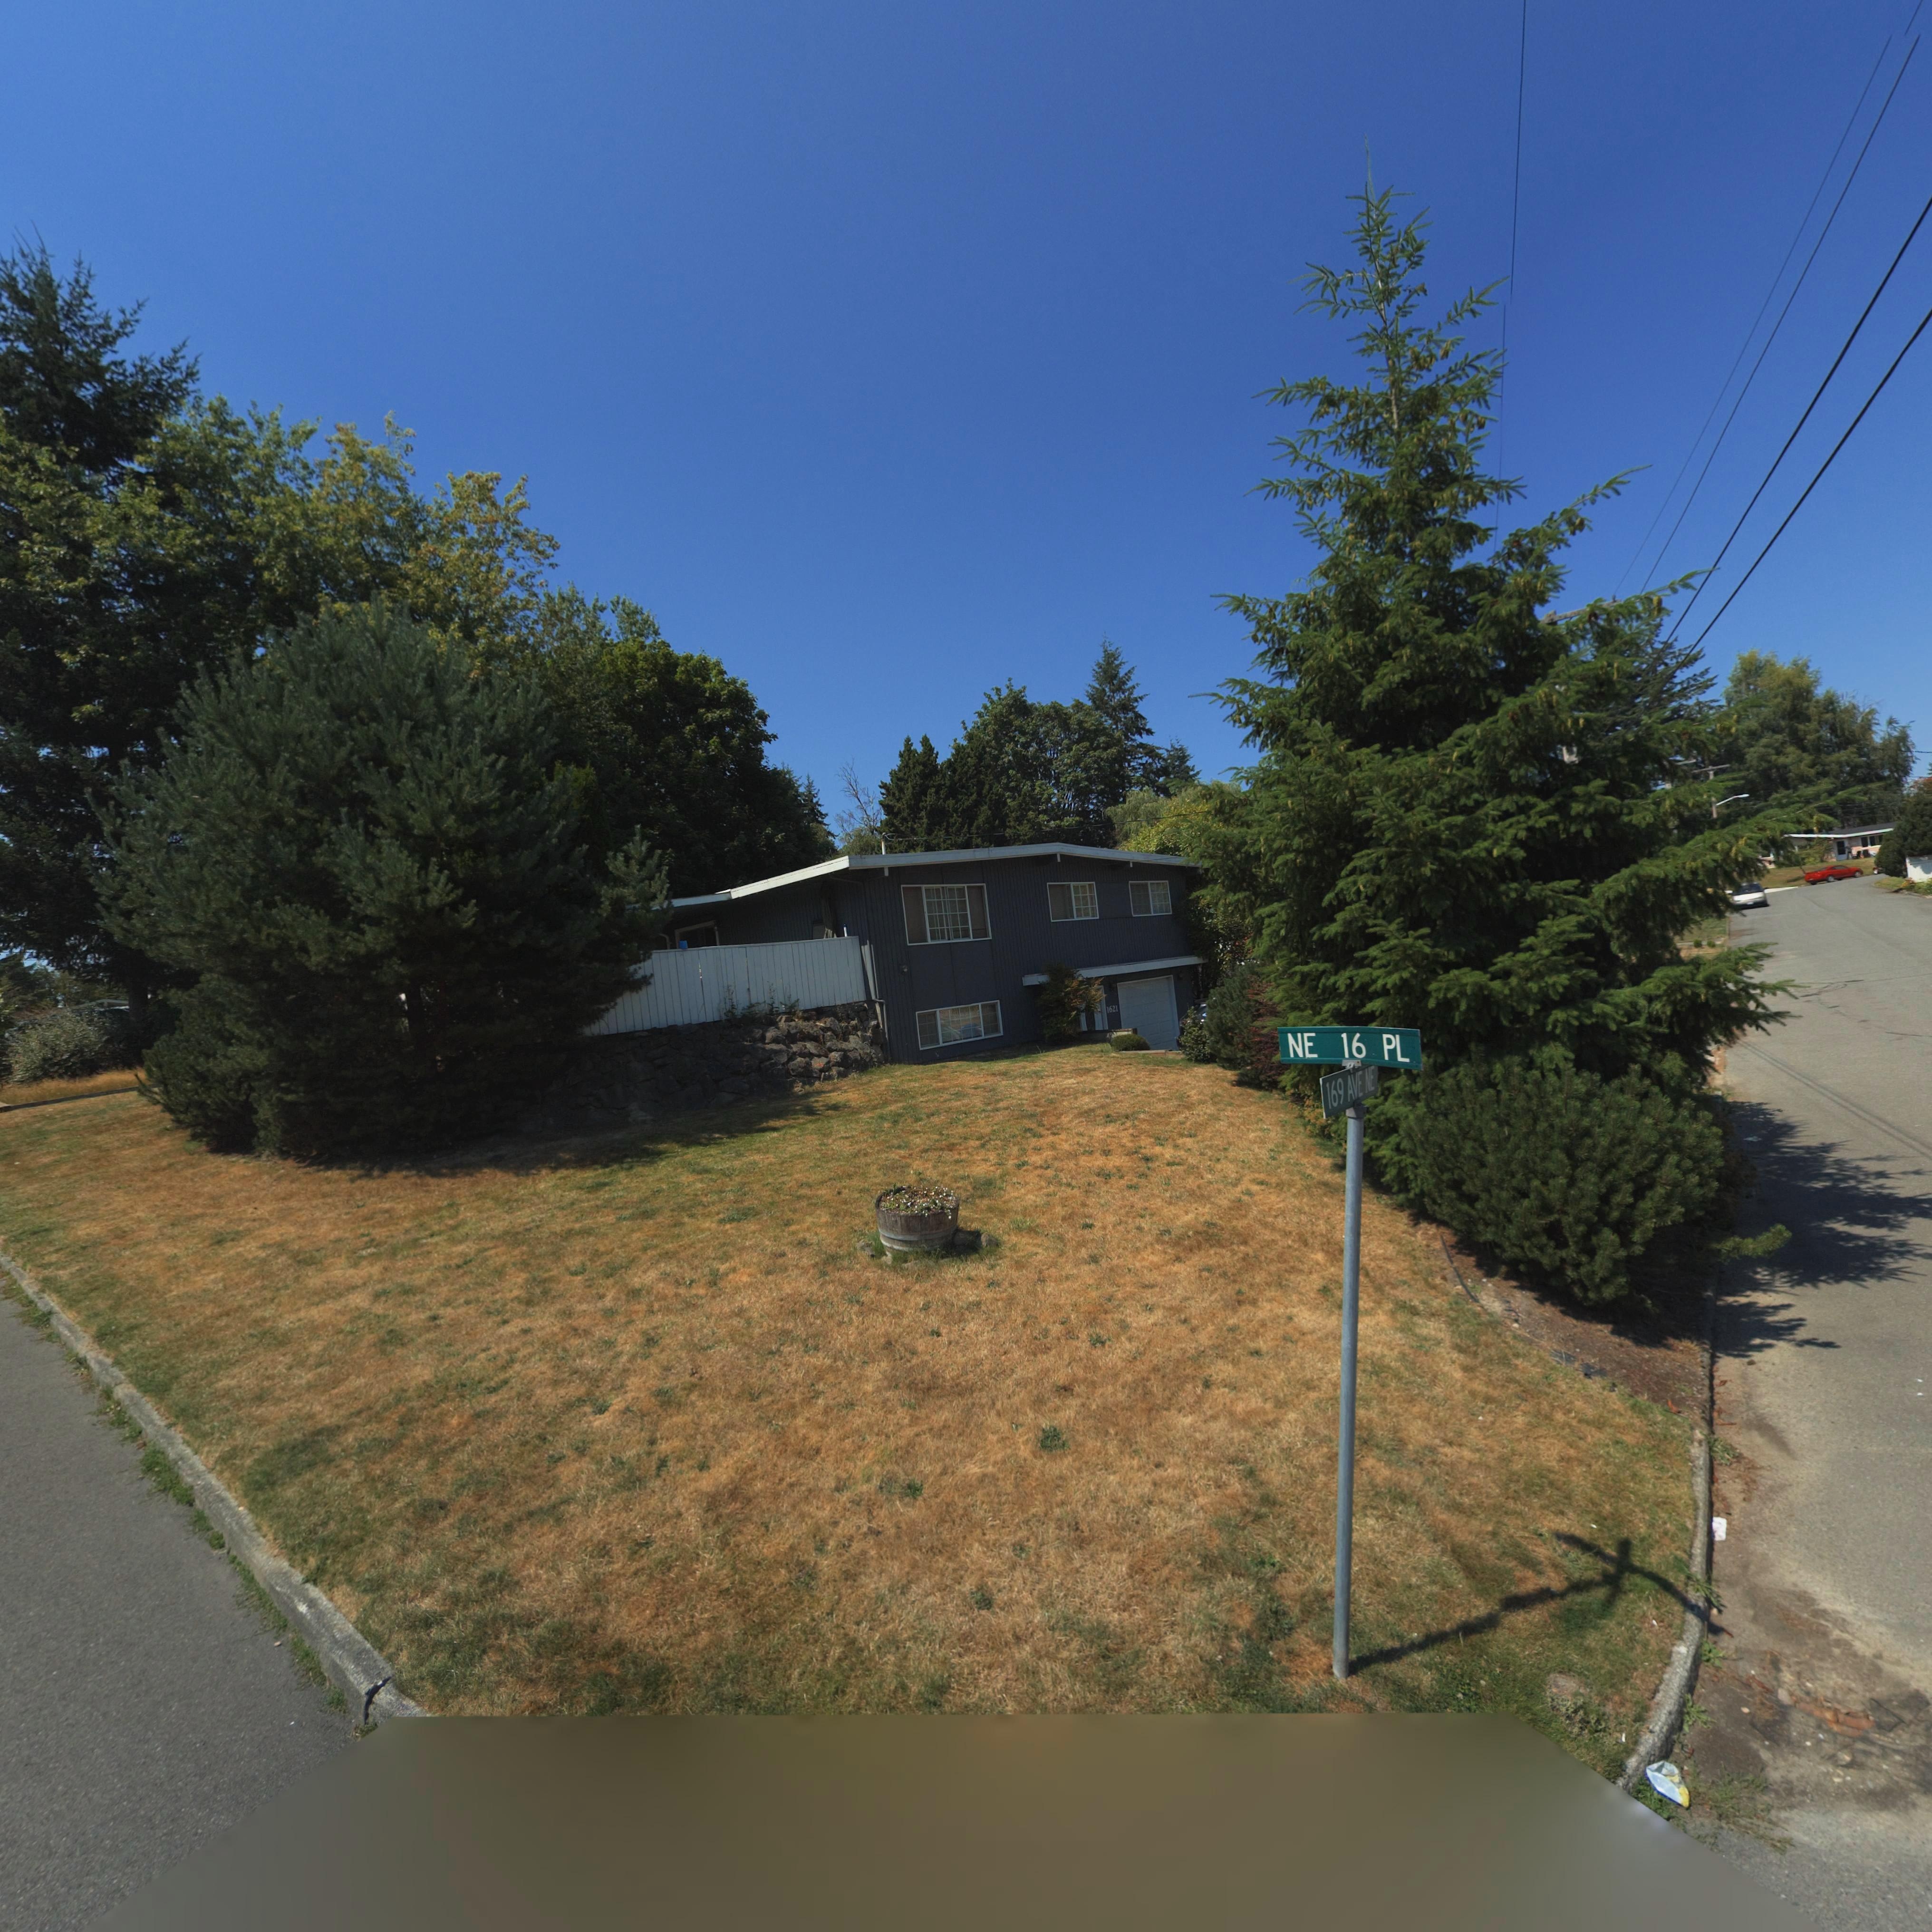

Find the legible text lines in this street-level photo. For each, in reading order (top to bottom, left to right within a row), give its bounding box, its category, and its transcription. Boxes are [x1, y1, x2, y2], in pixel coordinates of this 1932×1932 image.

[1105, 1005, 1119, 1014] StreetNumber: 1621
[1286, 1031, 1410, 1063] StreetName: NE 16 PL
[1324, 1065, 1377, 1110] None: 169 AVE NE